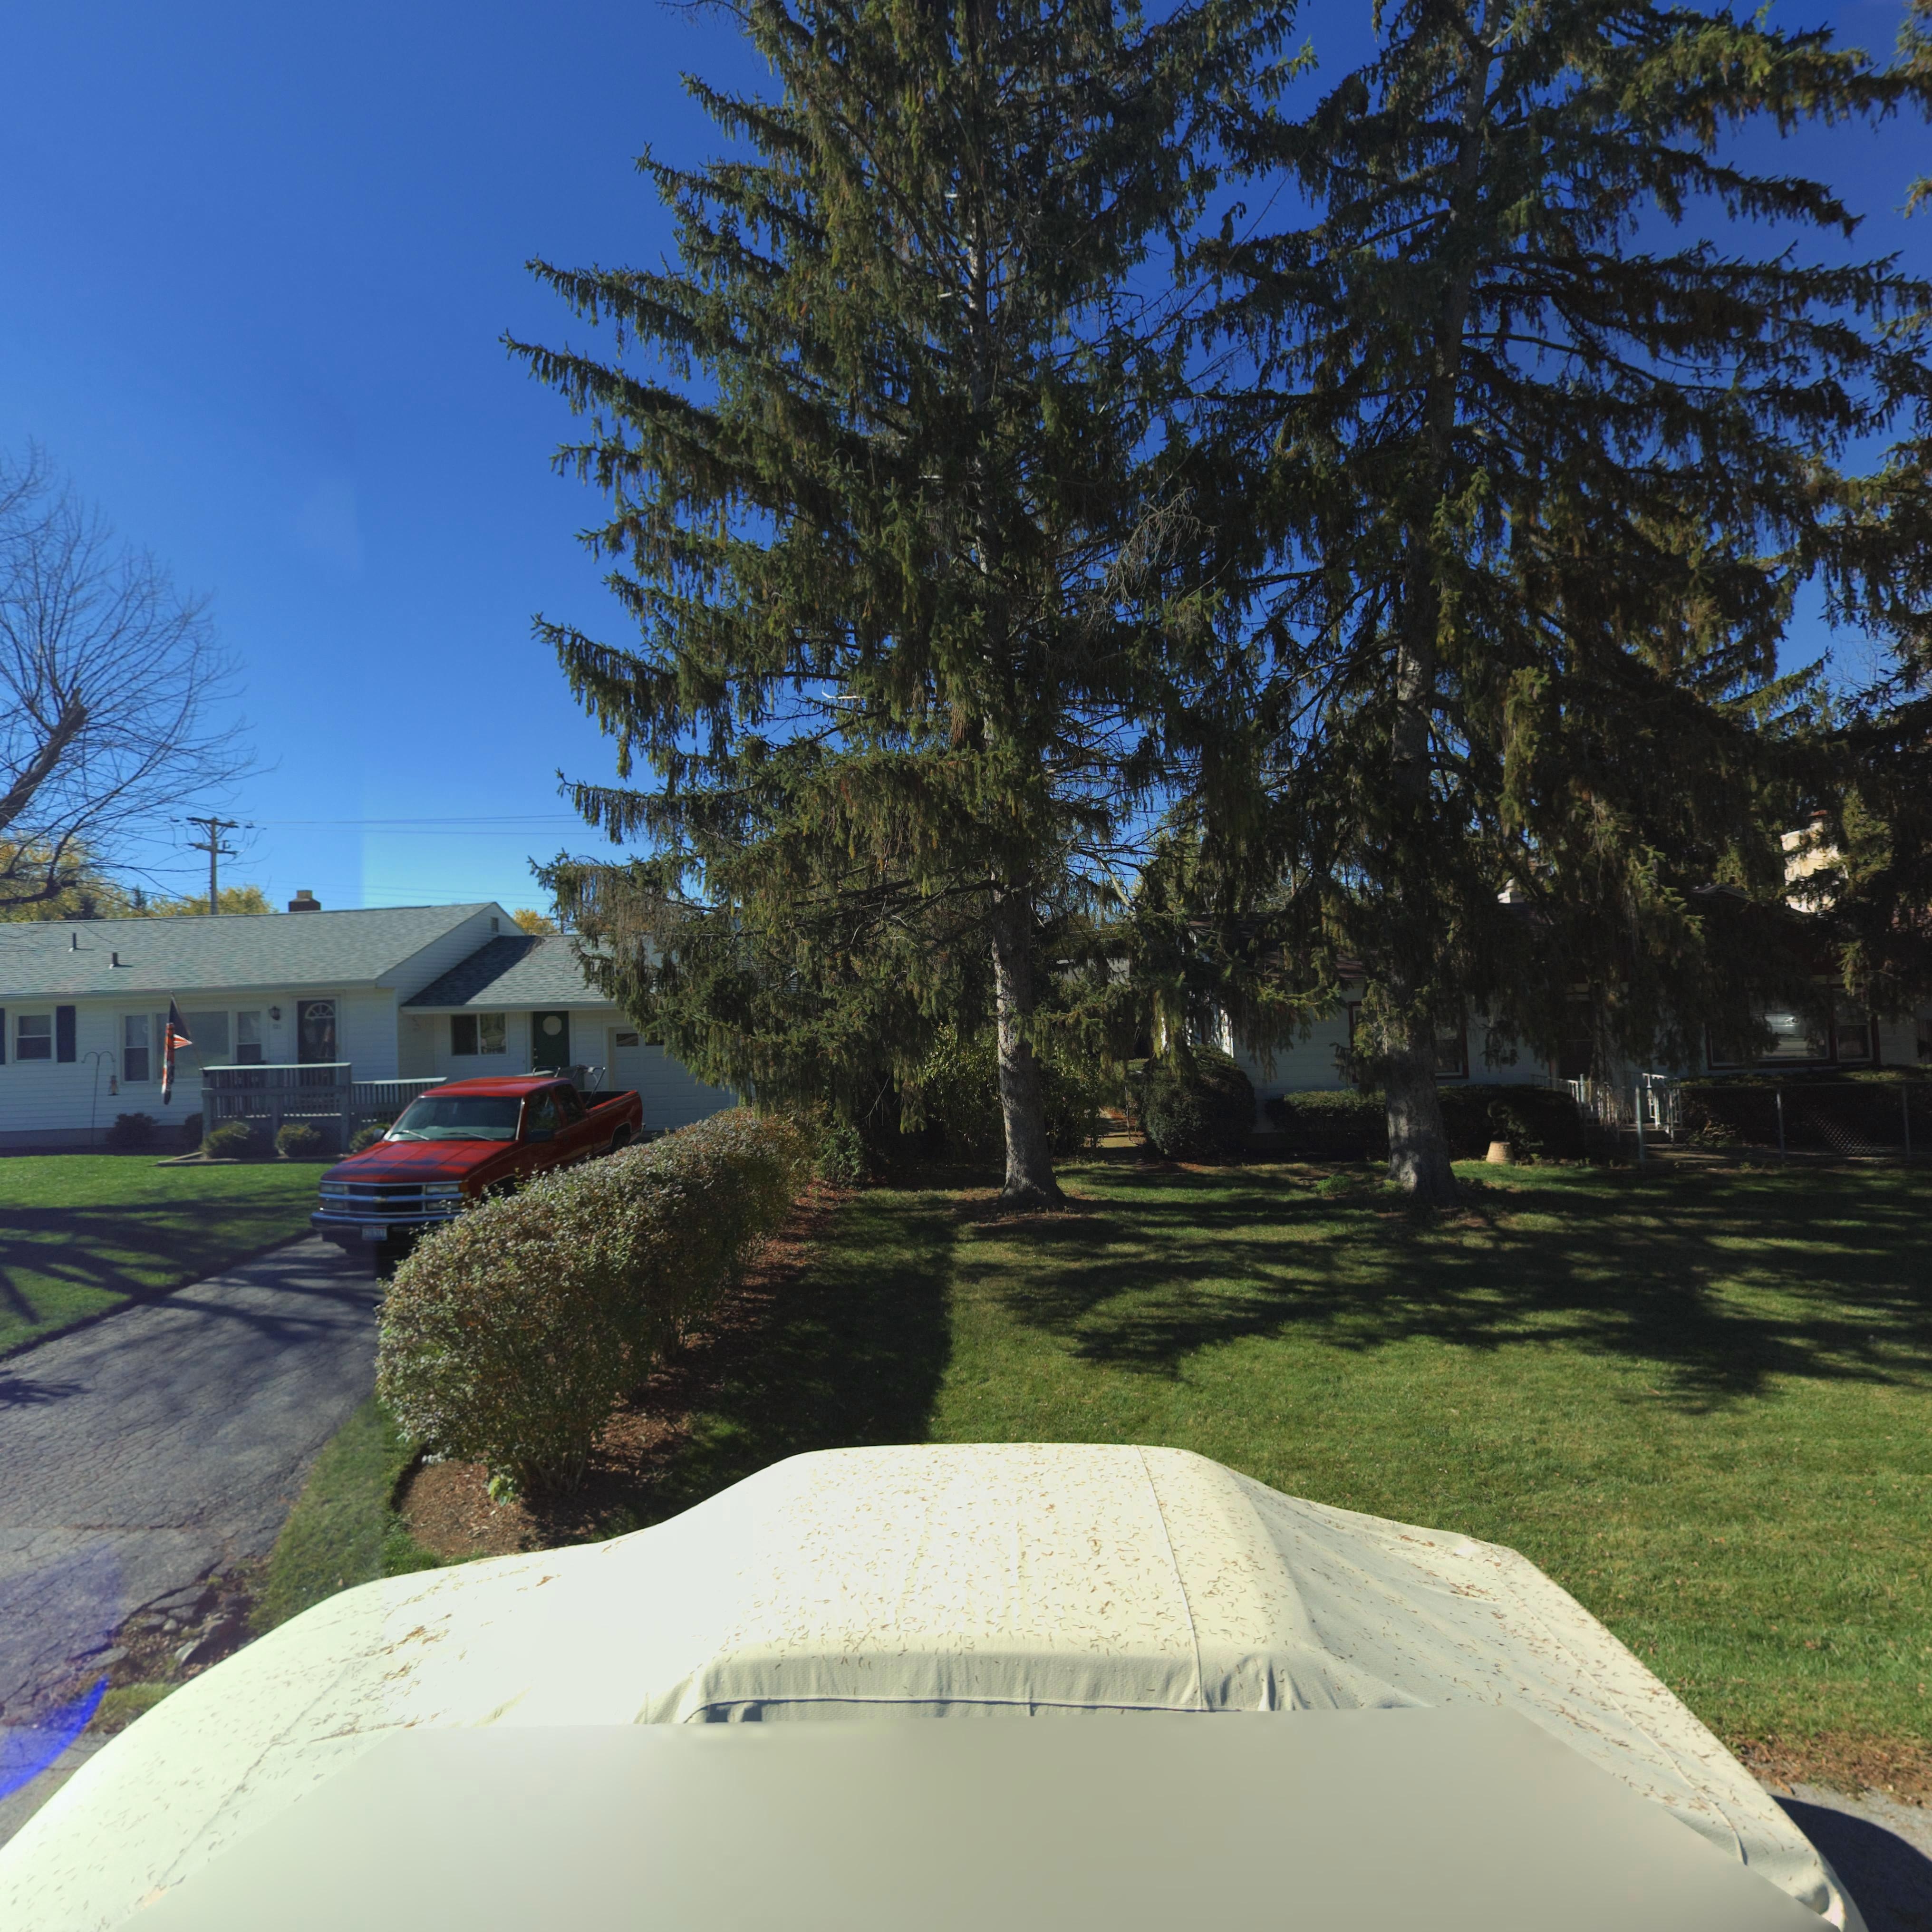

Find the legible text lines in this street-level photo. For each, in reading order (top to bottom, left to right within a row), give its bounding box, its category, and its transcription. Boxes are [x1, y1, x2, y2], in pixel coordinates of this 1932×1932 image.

[271, 1023, 282, 1030] StreetNumber: 721